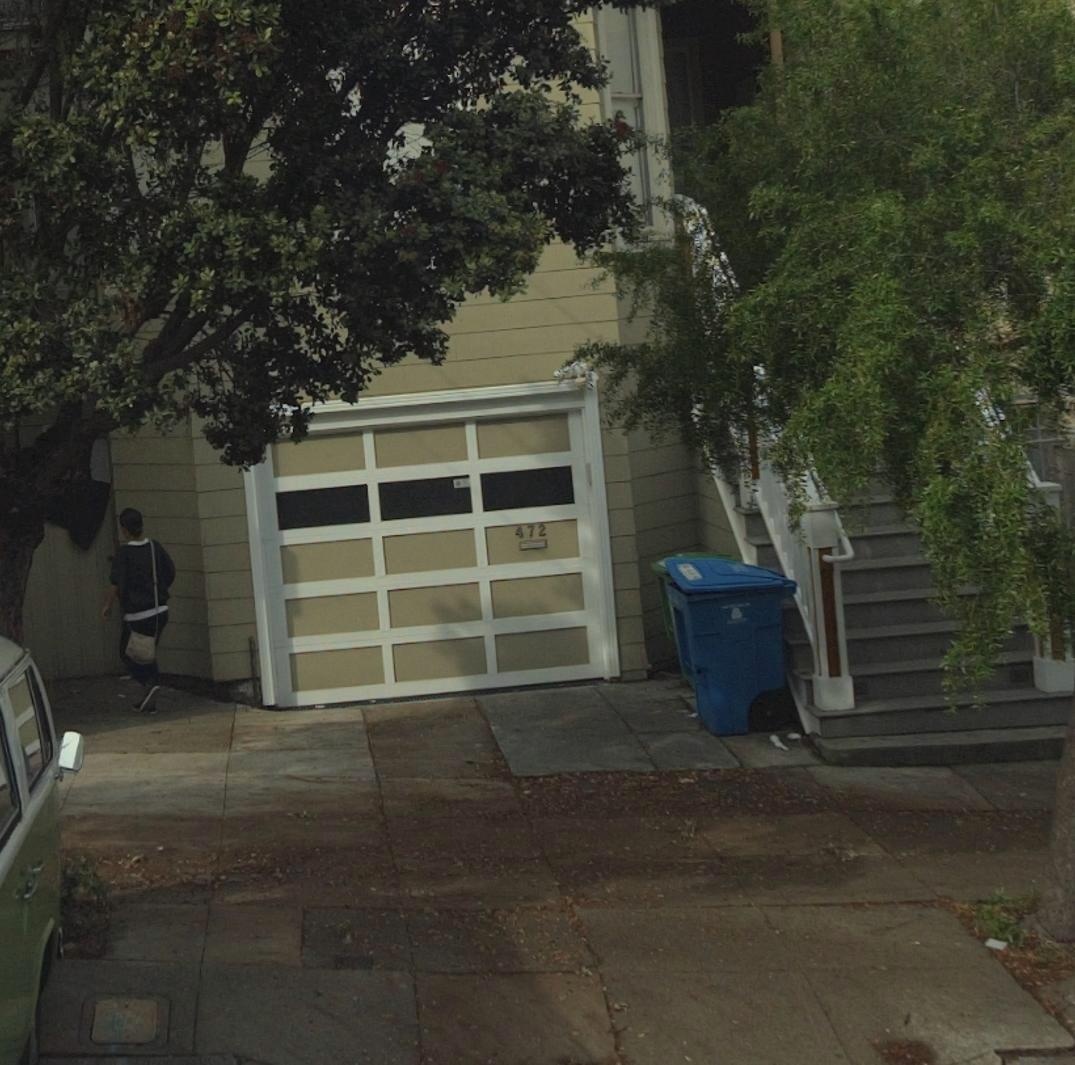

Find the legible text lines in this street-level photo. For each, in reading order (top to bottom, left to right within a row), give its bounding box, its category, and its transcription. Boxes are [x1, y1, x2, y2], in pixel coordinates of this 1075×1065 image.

[514, 522, 548, 542] StreetNumber: 472